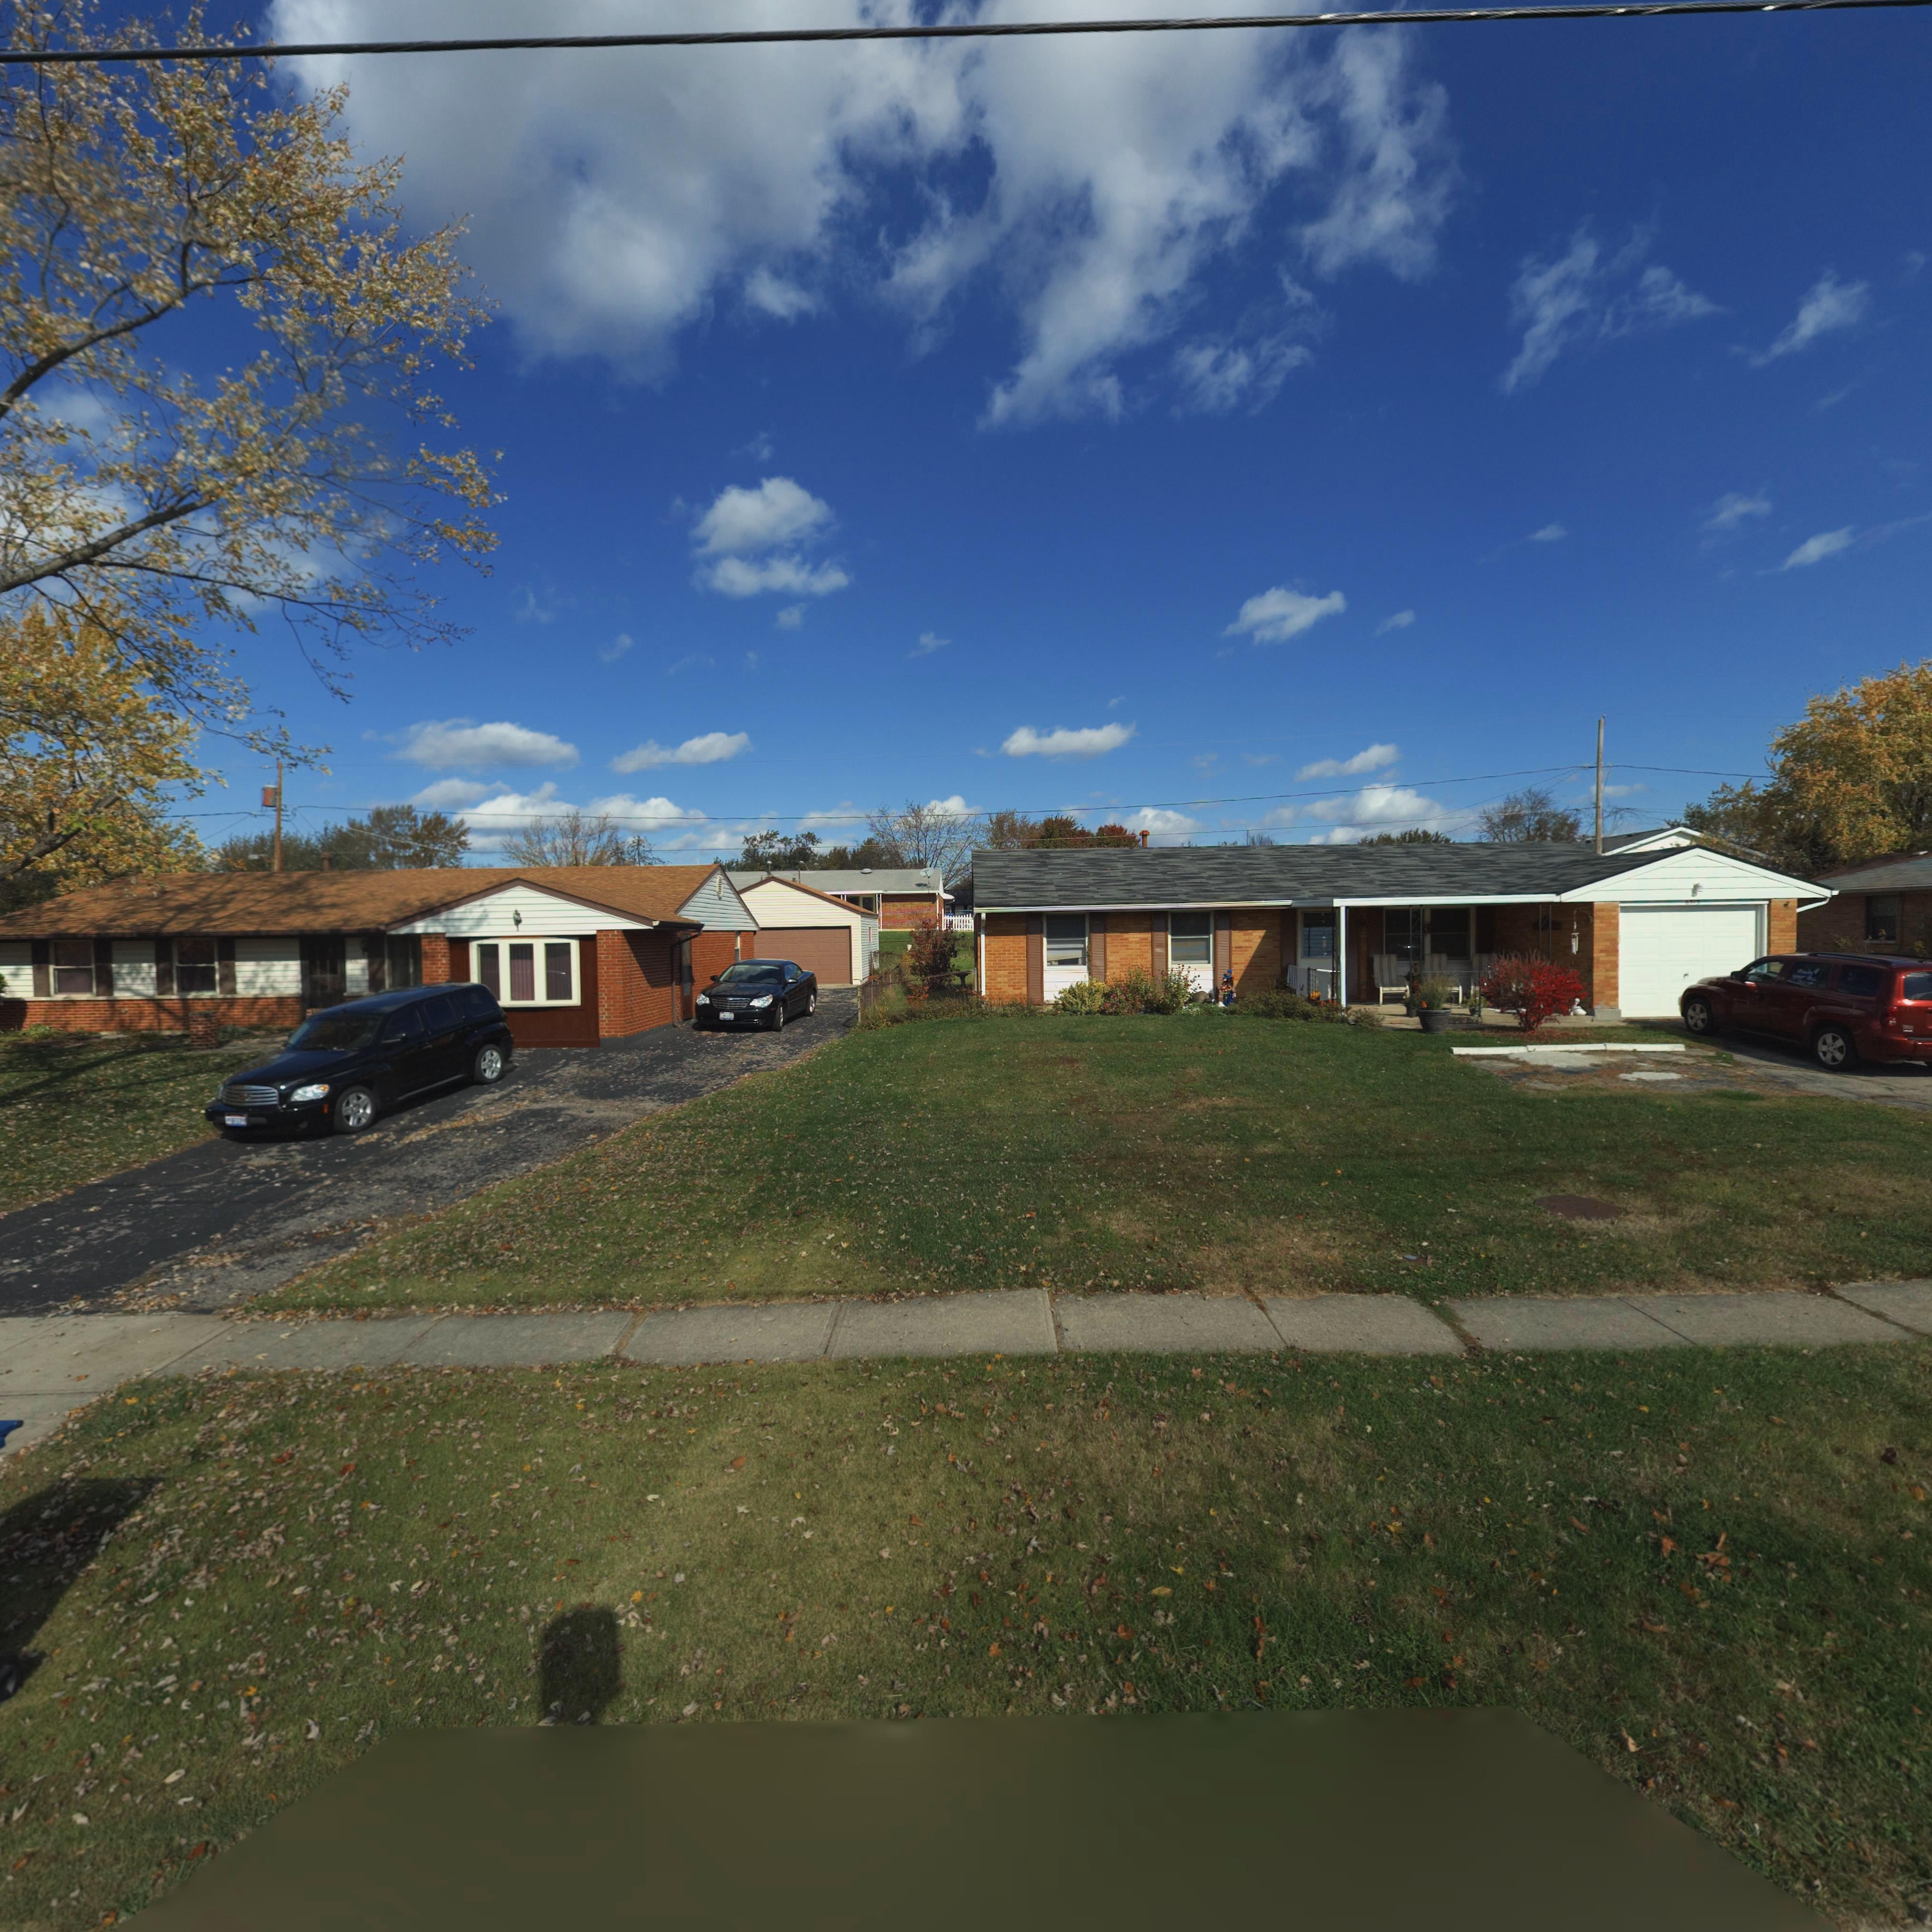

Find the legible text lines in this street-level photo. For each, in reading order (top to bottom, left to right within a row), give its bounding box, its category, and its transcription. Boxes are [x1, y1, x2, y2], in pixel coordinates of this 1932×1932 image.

[1685, 899, 1701, 905] StreetNumber: 6513